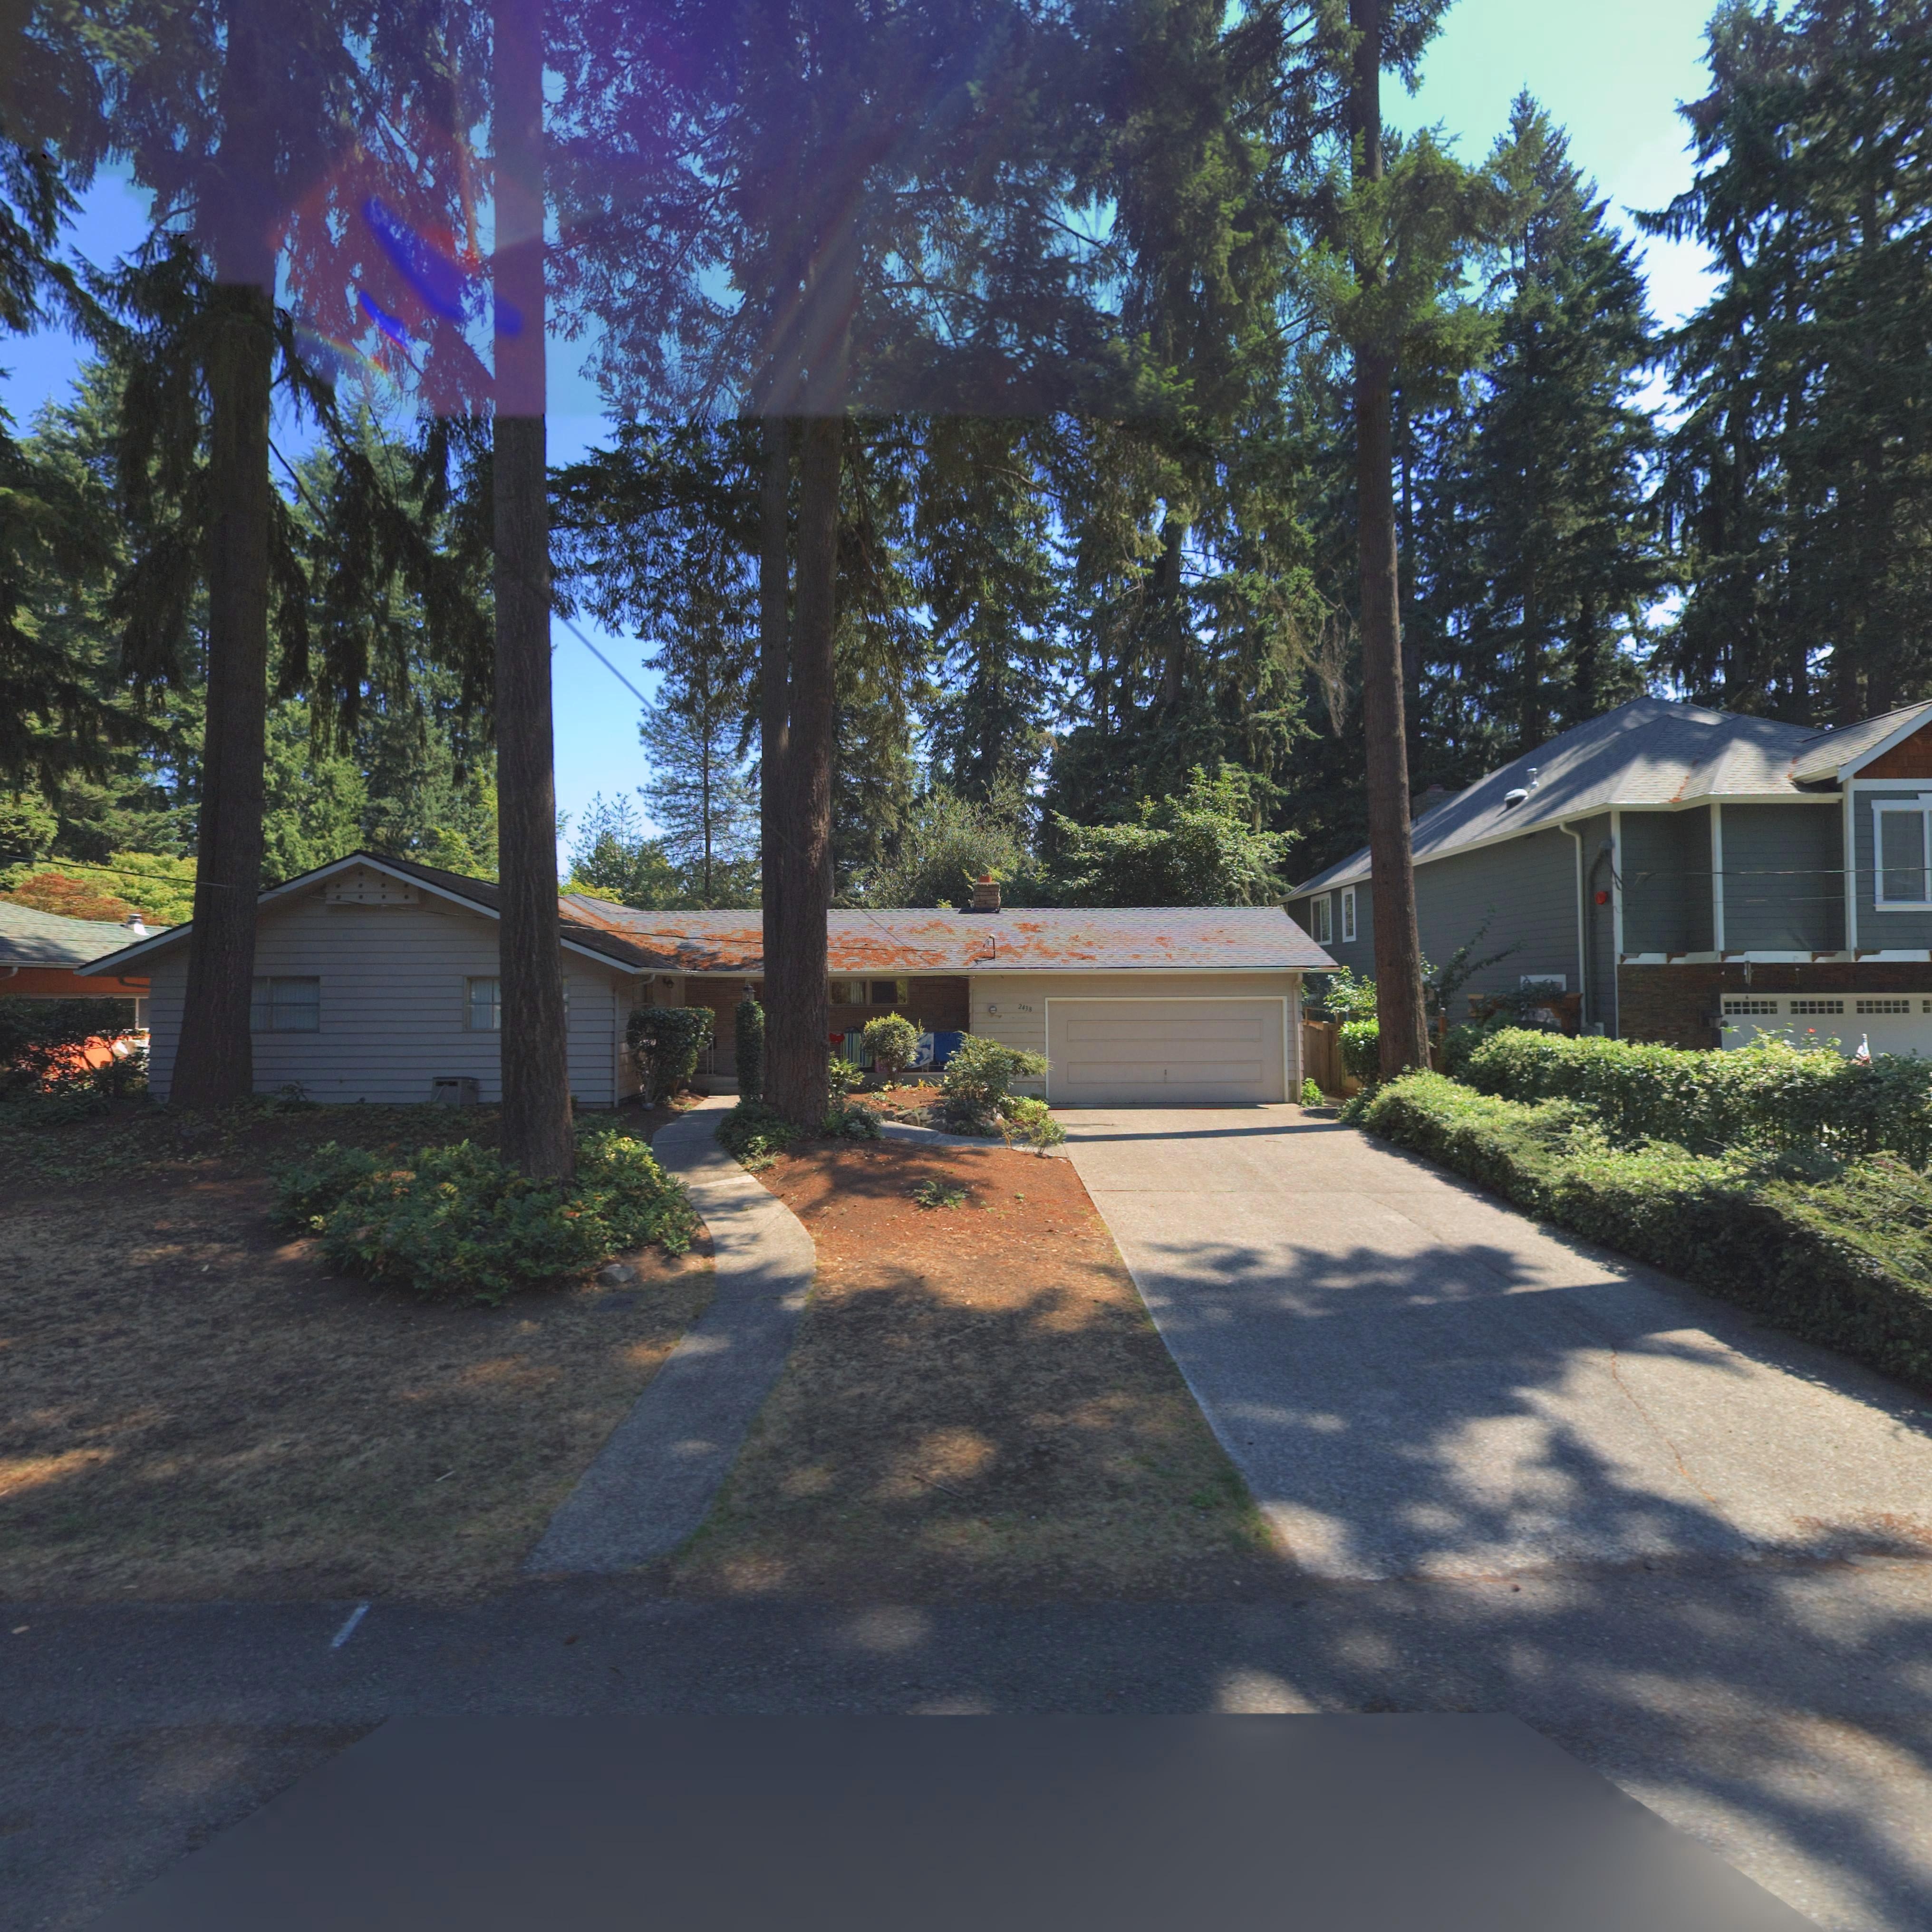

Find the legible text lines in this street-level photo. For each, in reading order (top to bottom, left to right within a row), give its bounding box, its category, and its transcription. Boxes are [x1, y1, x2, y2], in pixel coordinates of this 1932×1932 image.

[1017, 1002, 1032, 1013] StreetNumber: 2438